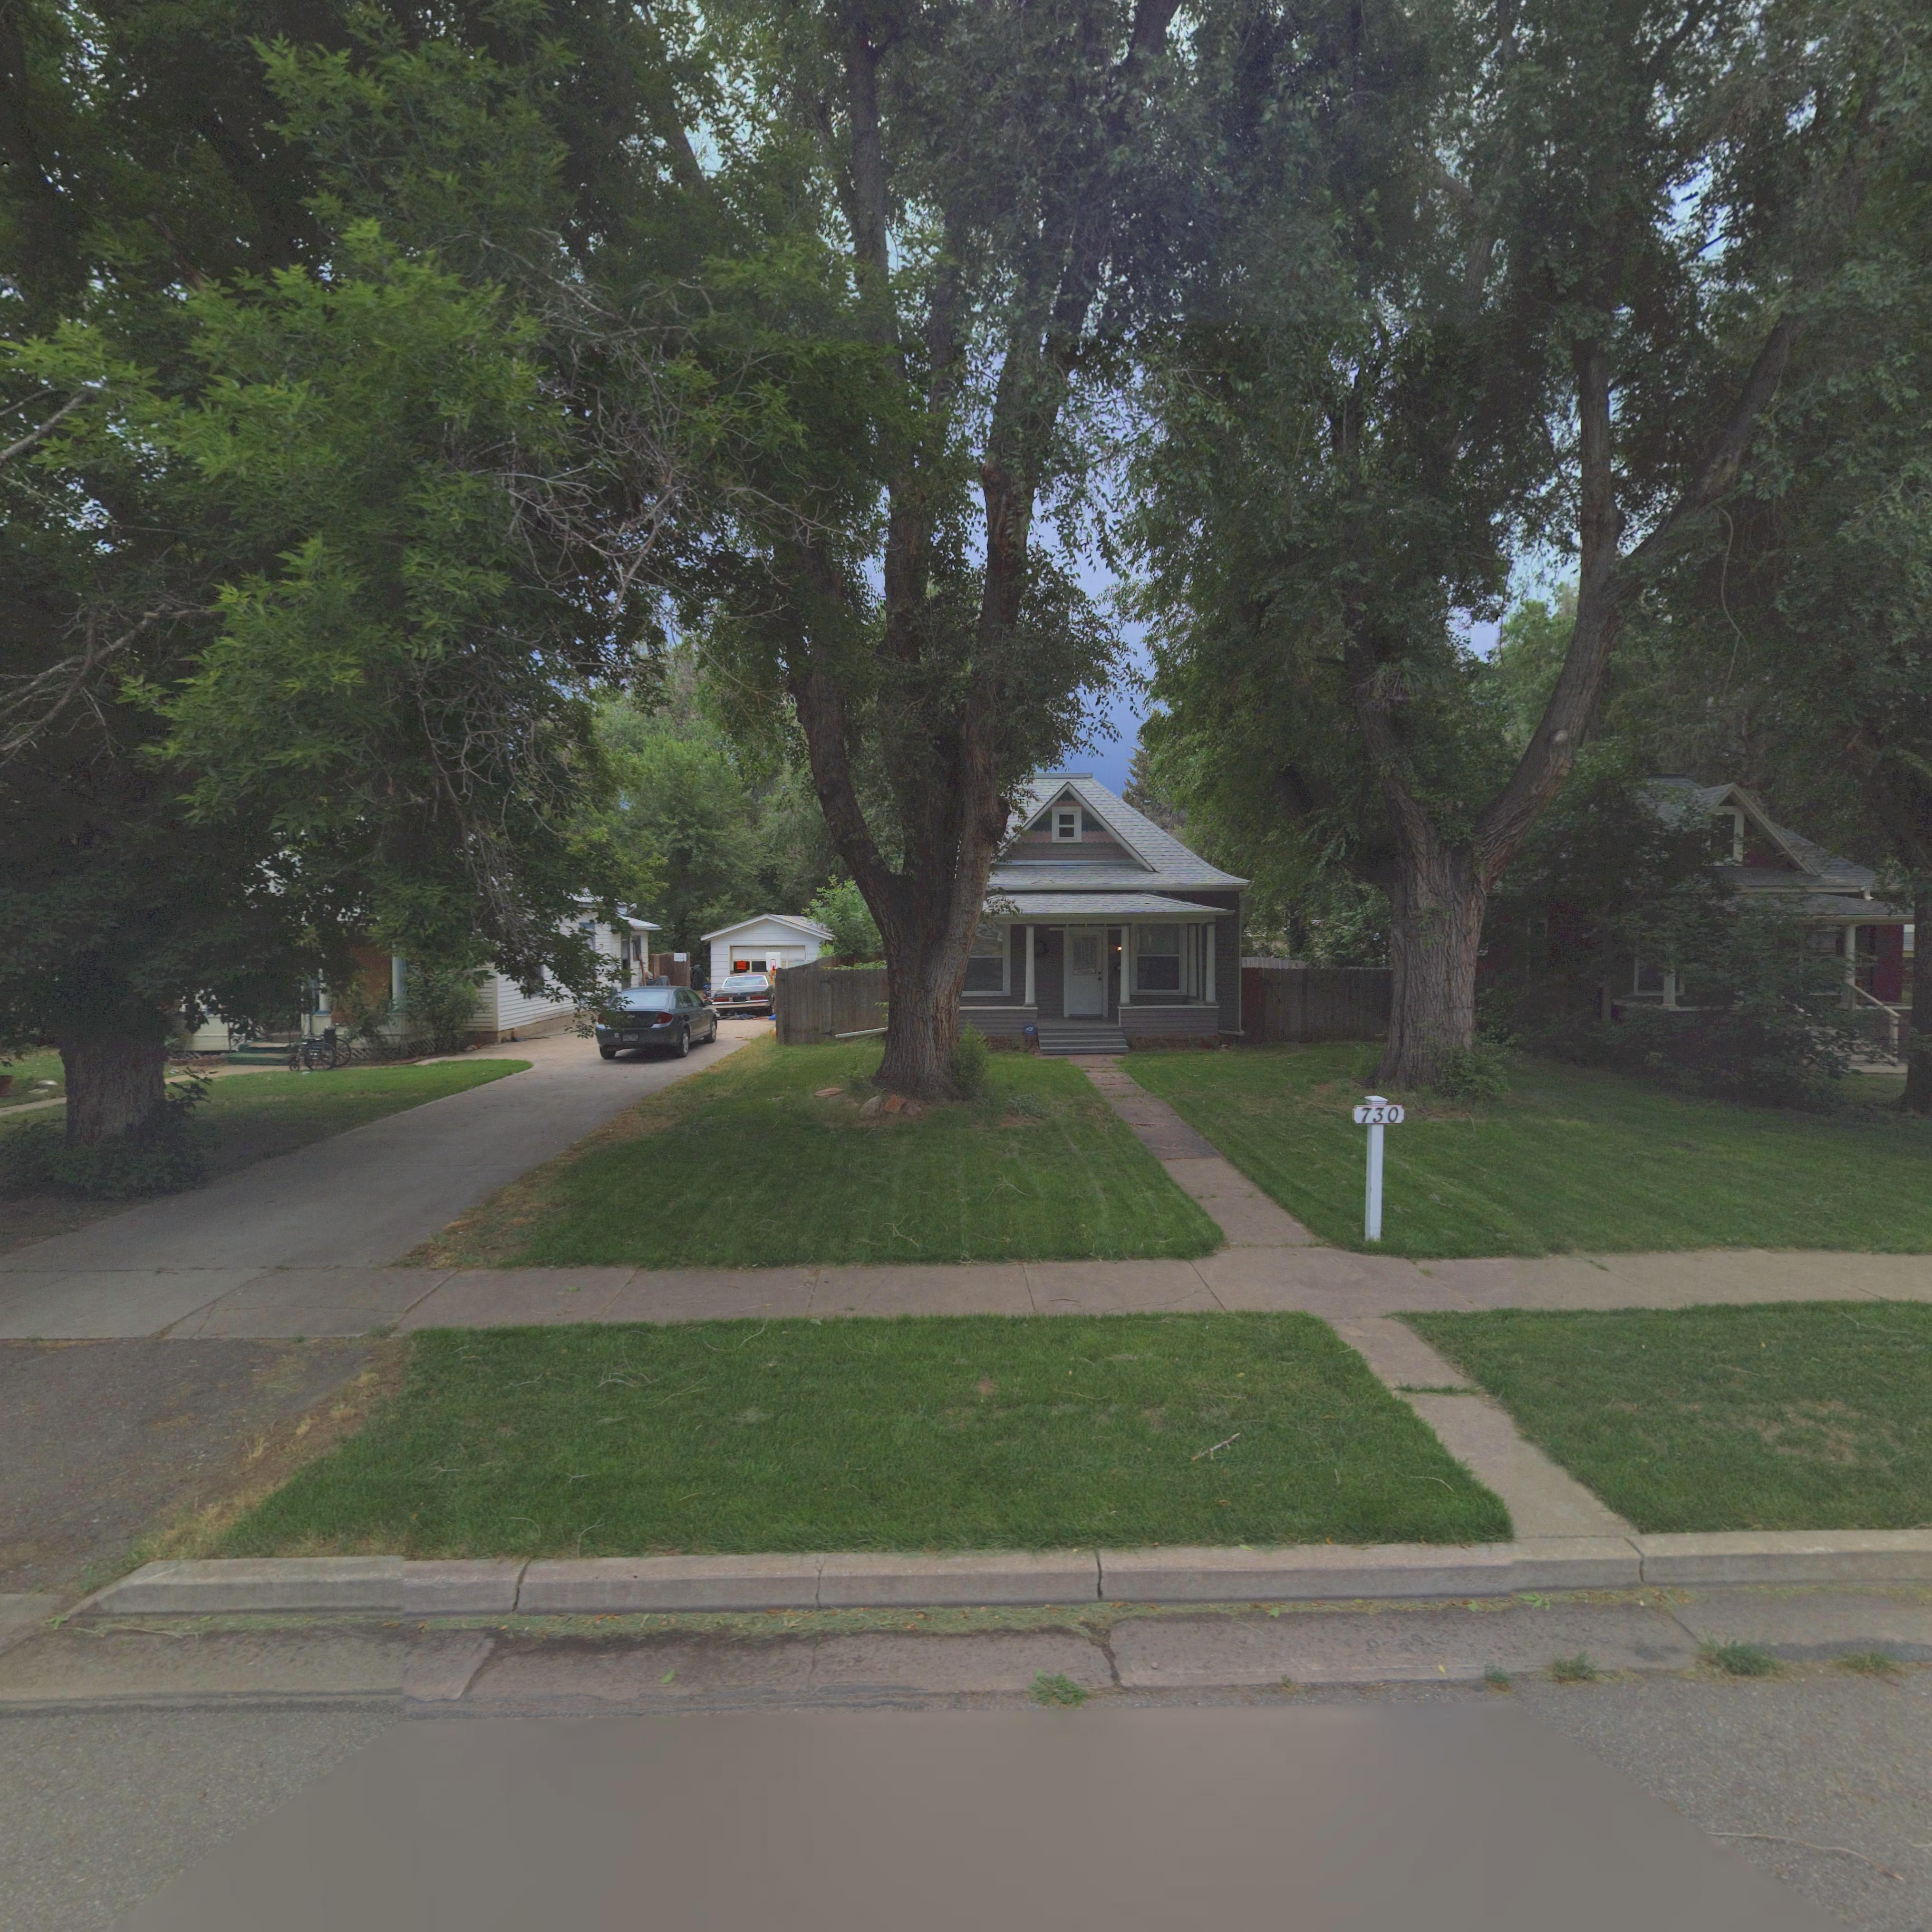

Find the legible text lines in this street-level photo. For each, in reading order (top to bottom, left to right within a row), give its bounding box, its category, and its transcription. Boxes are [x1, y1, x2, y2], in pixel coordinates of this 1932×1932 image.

[1361, 1107, 1399, 1122] StreetNumber: 730